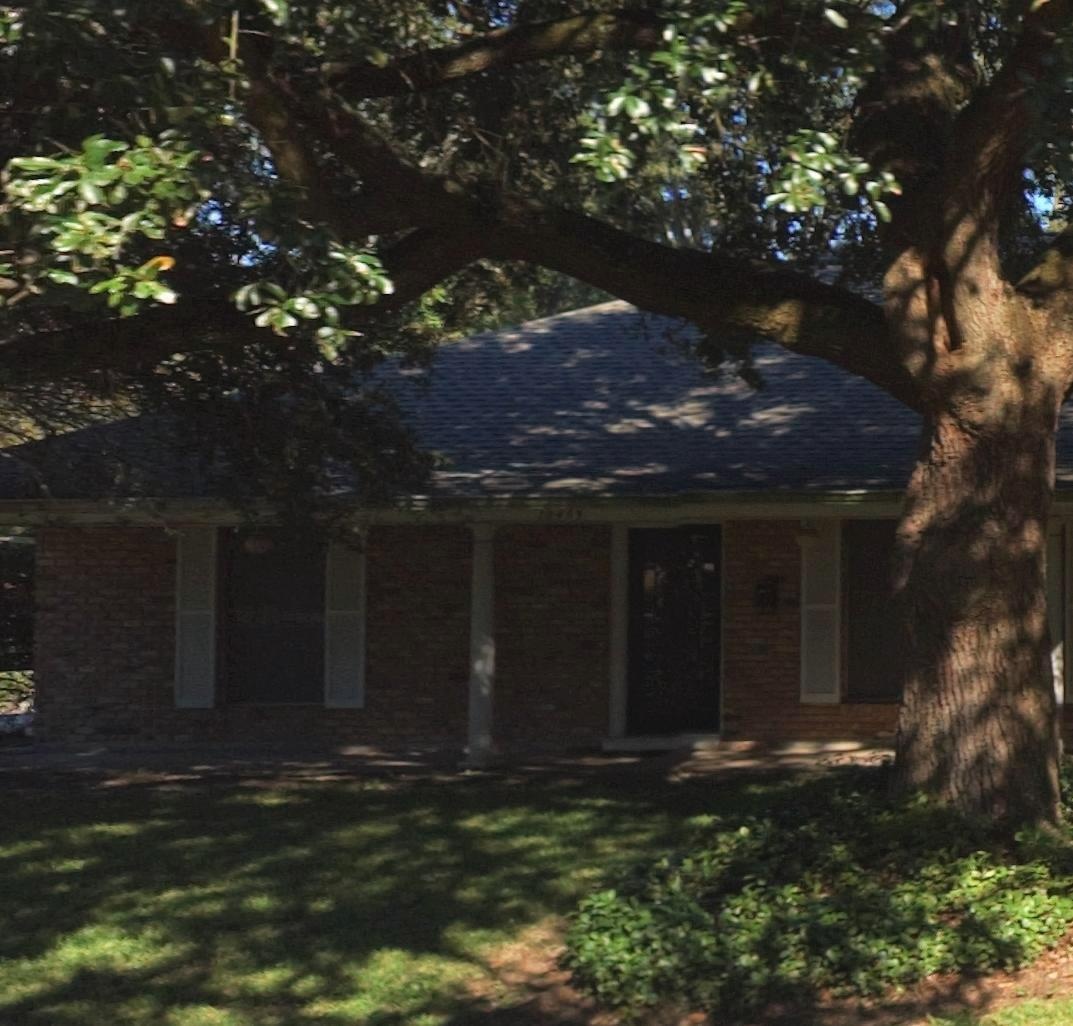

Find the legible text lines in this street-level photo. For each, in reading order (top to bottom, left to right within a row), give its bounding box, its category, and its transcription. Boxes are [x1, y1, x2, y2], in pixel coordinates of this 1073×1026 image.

[535, 507, 584, 523] StreetNumber: 1*4**